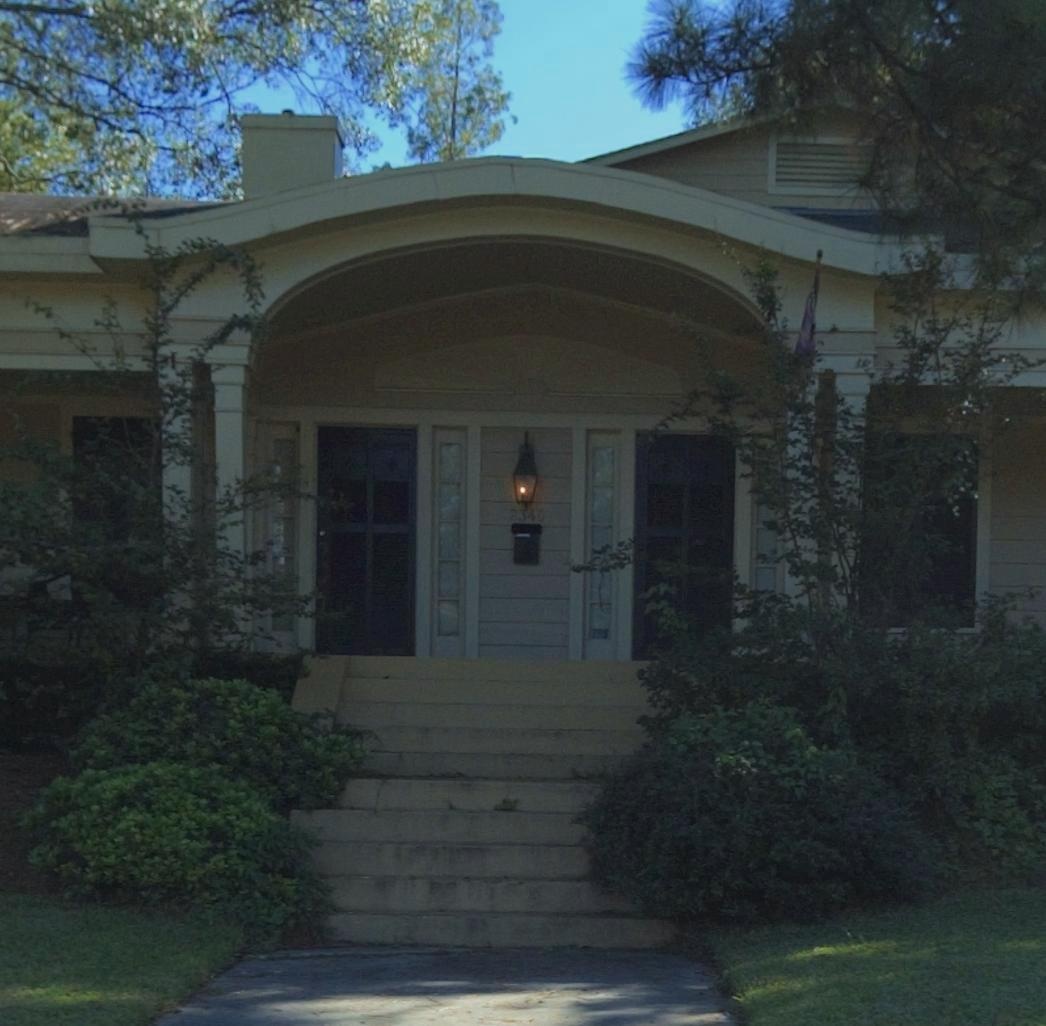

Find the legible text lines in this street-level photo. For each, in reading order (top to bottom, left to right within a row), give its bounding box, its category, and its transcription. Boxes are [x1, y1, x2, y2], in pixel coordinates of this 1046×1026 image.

[508, 506, 548, 525] StreetNumber: 2340